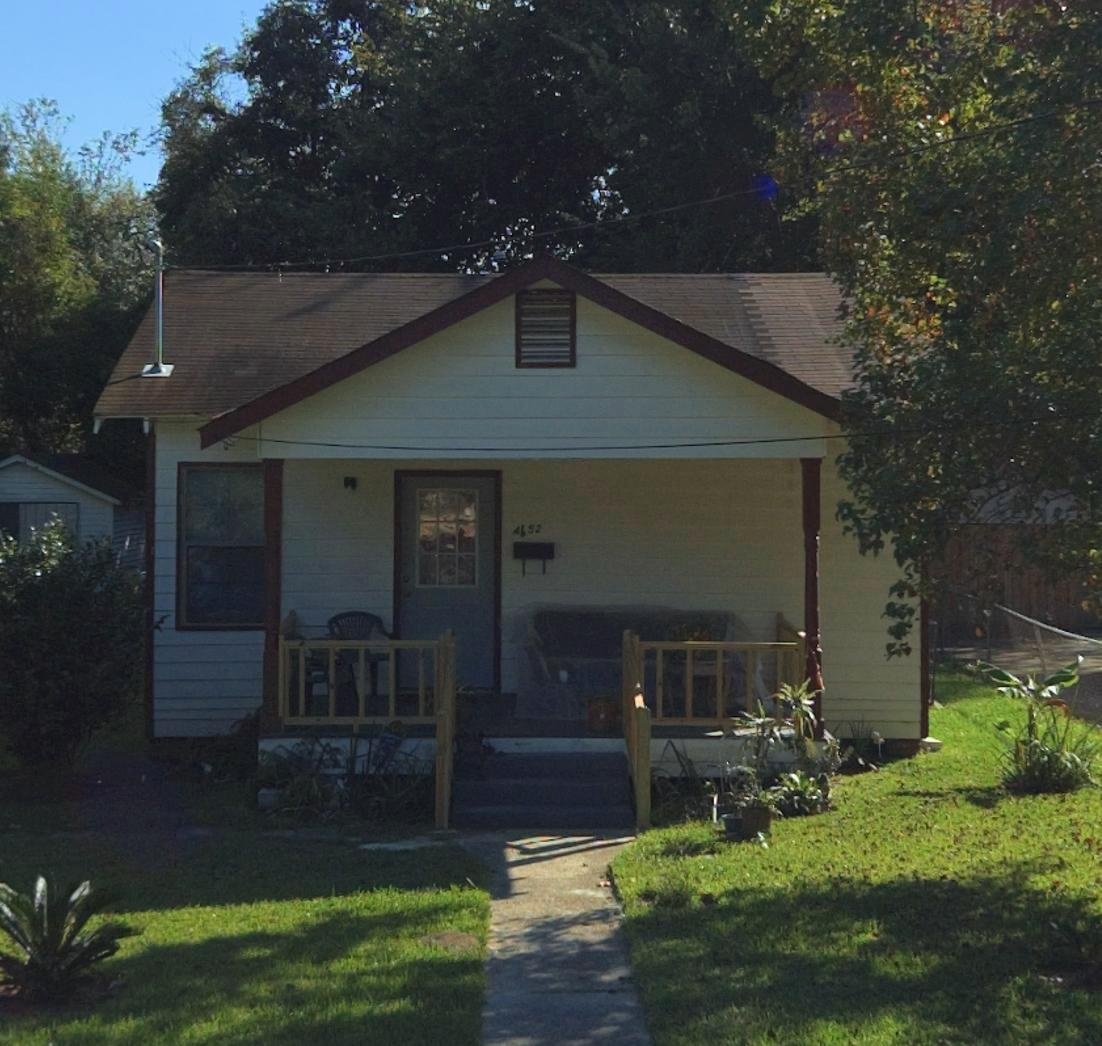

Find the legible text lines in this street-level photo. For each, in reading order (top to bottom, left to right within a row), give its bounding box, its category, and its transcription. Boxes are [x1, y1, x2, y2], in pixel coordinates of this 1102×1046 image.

[512, 523, 543, 536] StreetNumber: 4*52